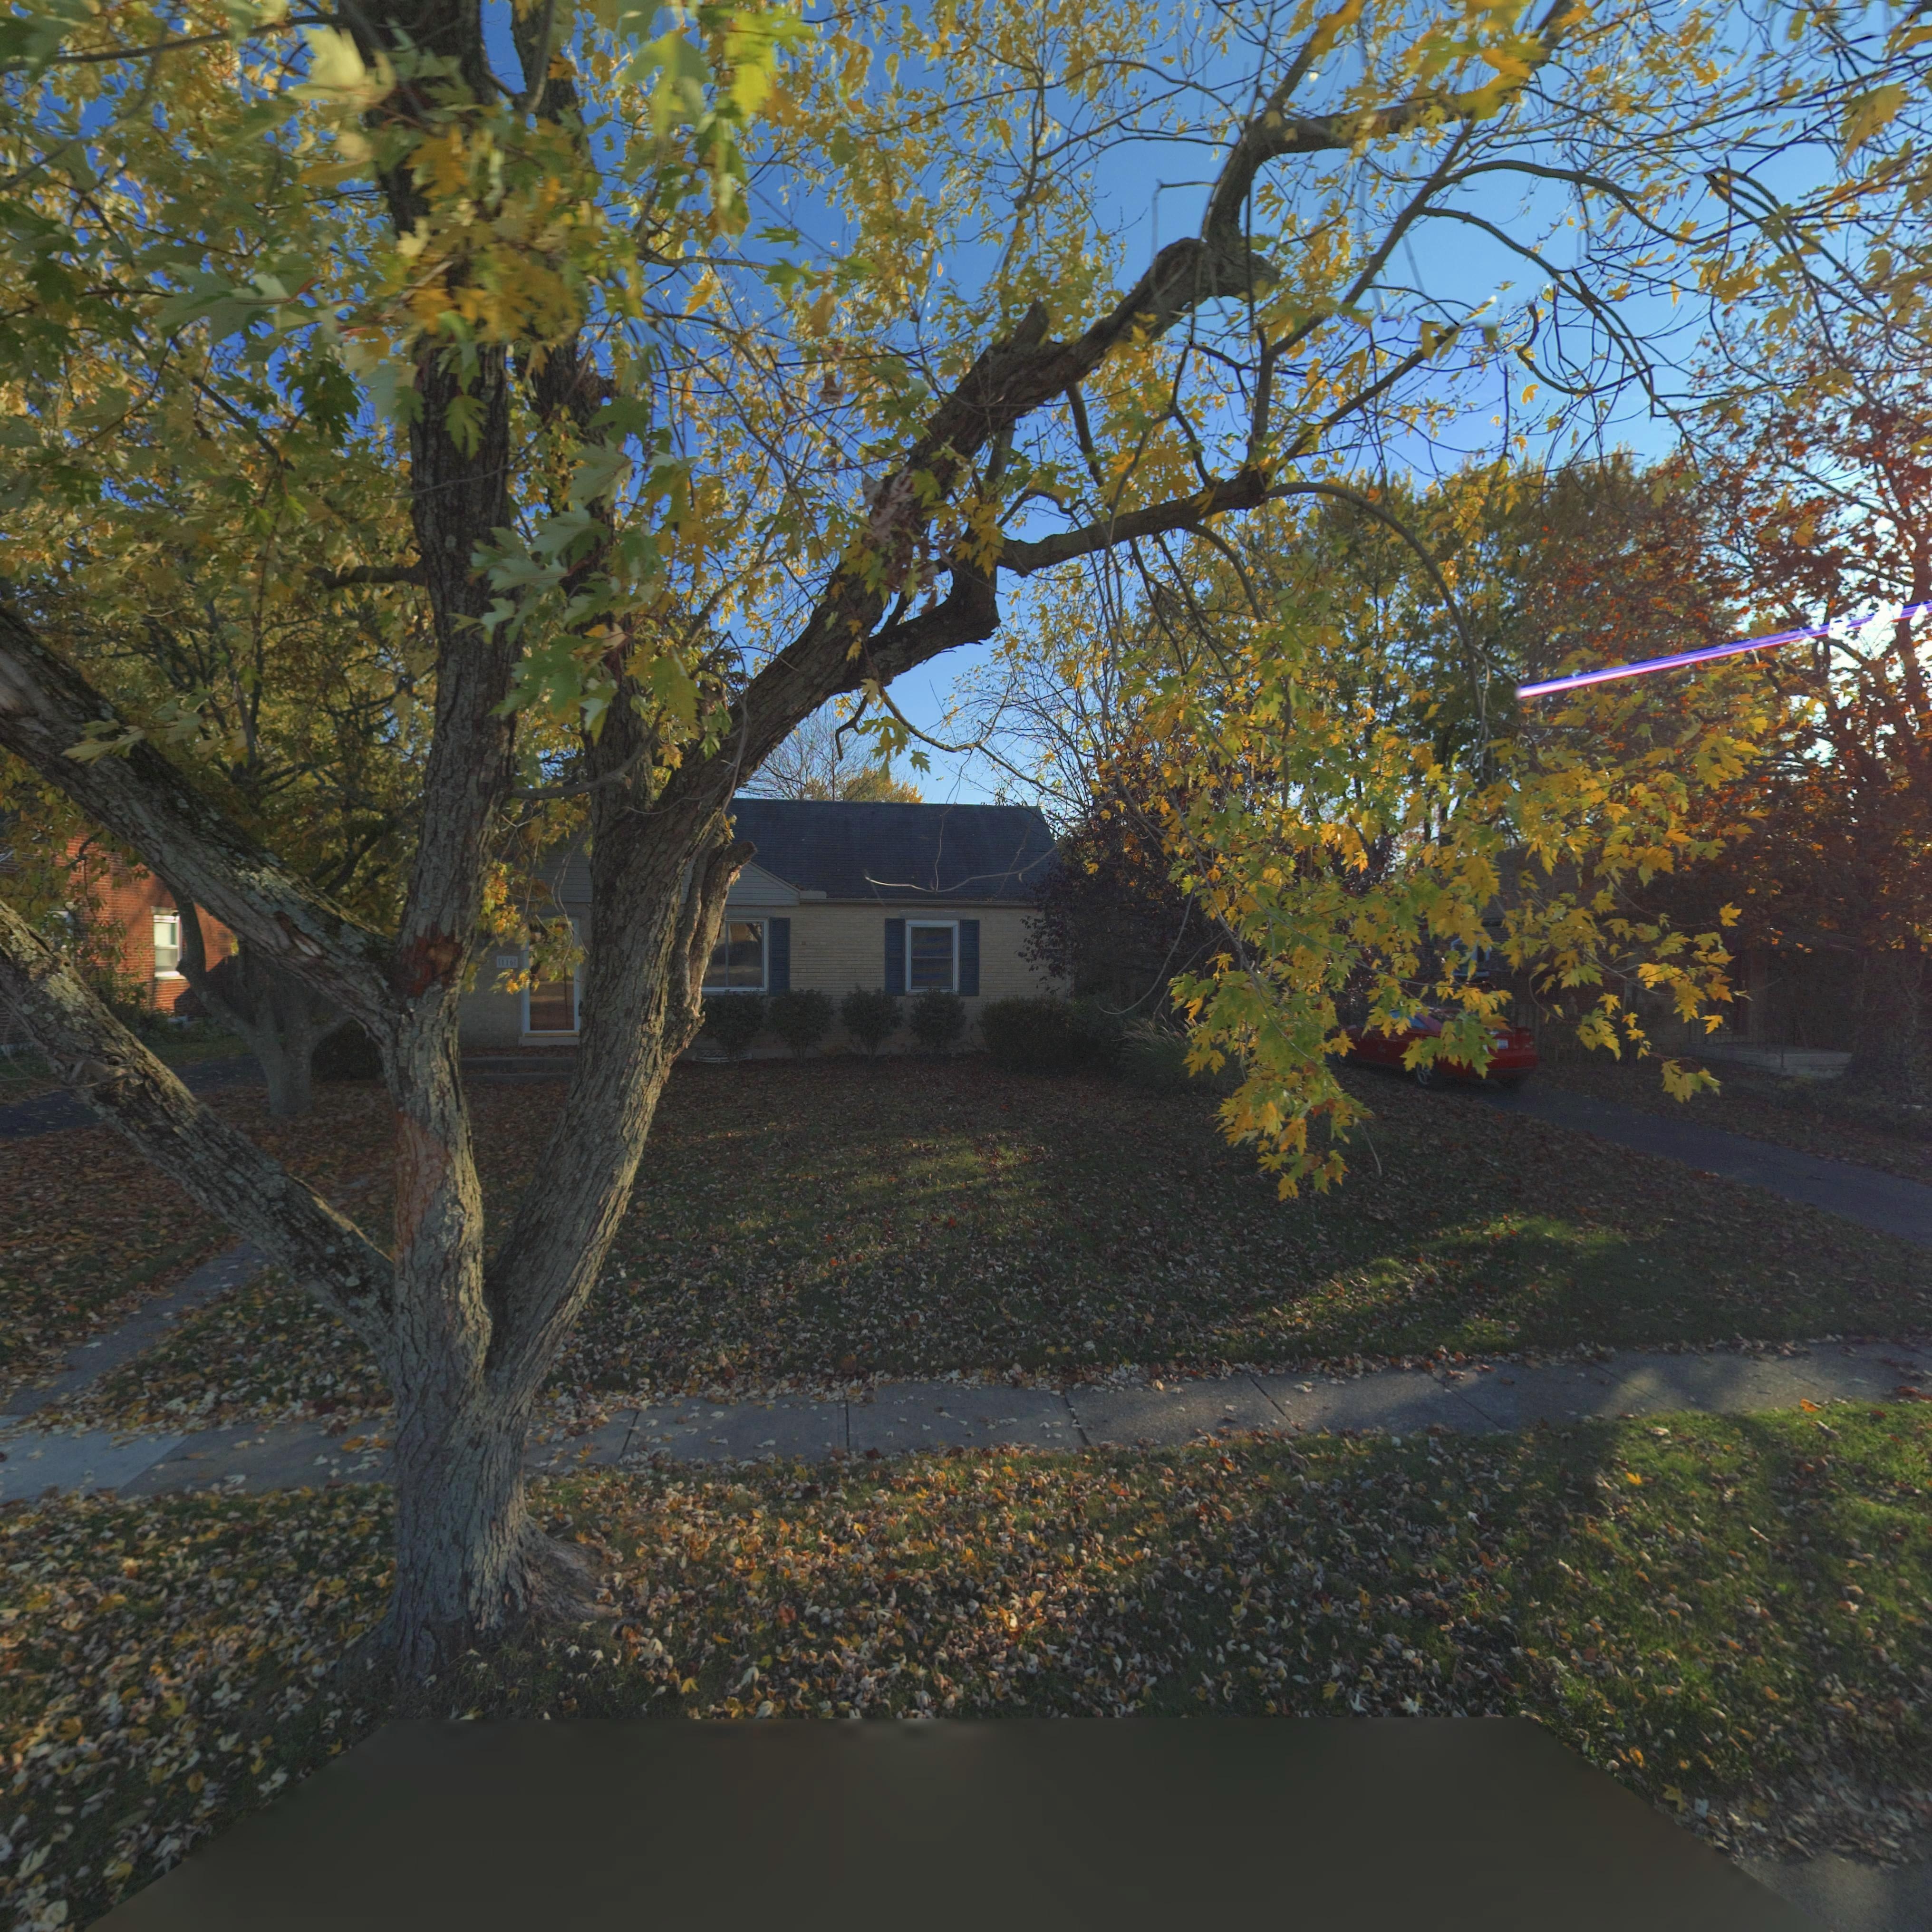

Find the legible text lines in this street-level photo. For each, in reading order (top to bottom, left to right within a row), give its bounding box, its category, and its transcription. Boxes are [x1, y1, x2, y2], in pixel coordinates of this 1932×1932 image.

[501, 958, 514, 966] StreetNumber: 116